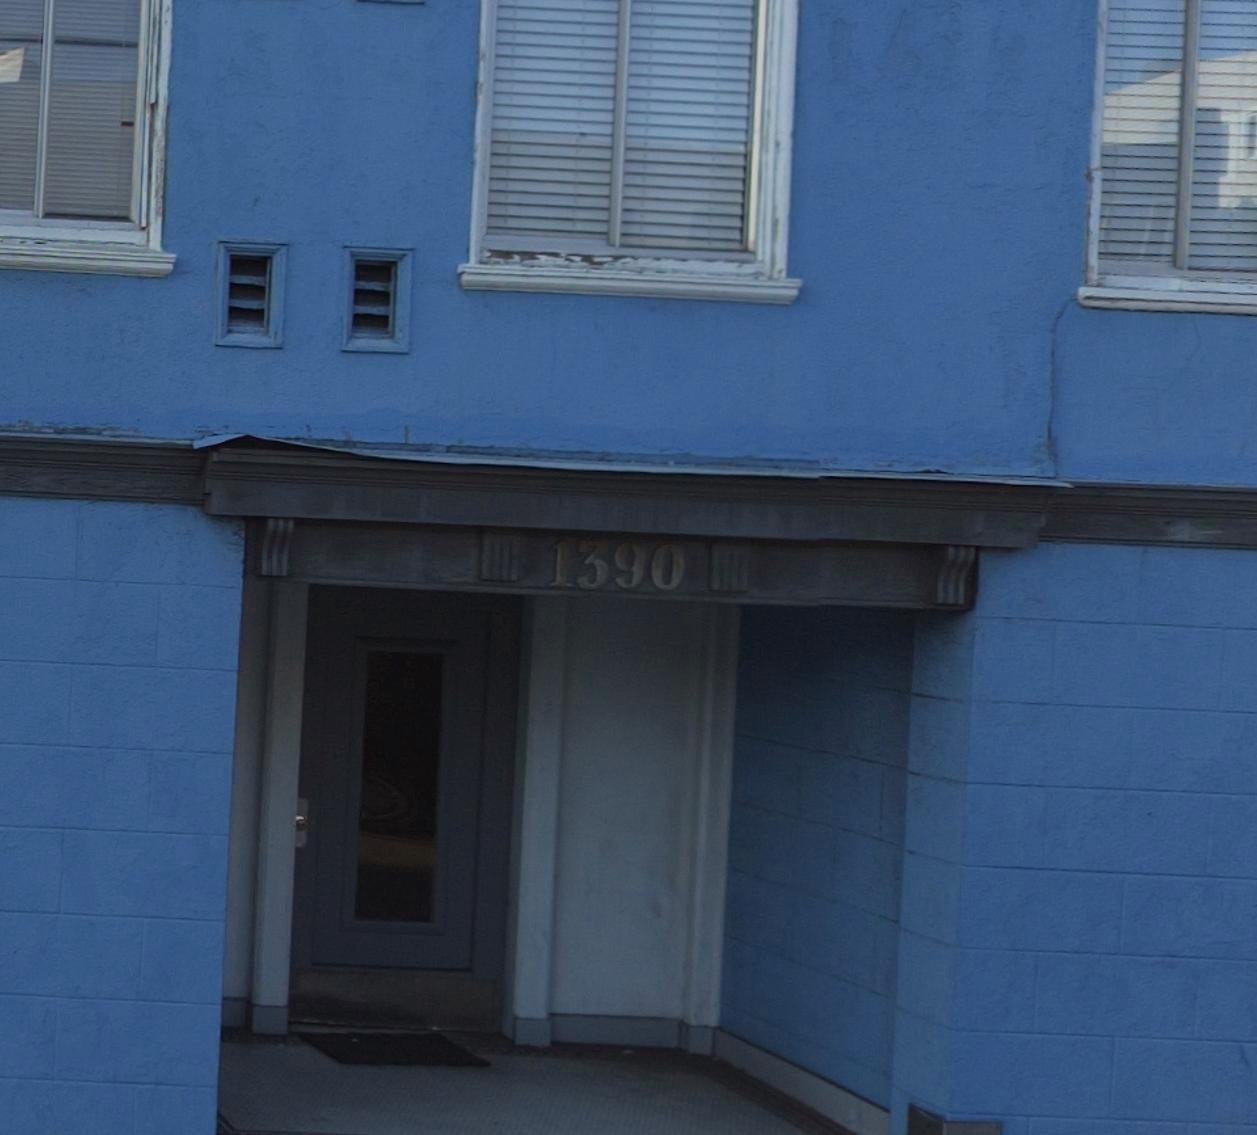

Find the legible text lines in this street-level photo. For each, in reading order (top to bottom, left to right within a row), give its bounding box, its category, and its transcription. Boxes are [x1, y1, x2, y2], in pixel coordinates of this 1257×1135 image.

[549, 536, 686, 593] StreetNumber: 1390